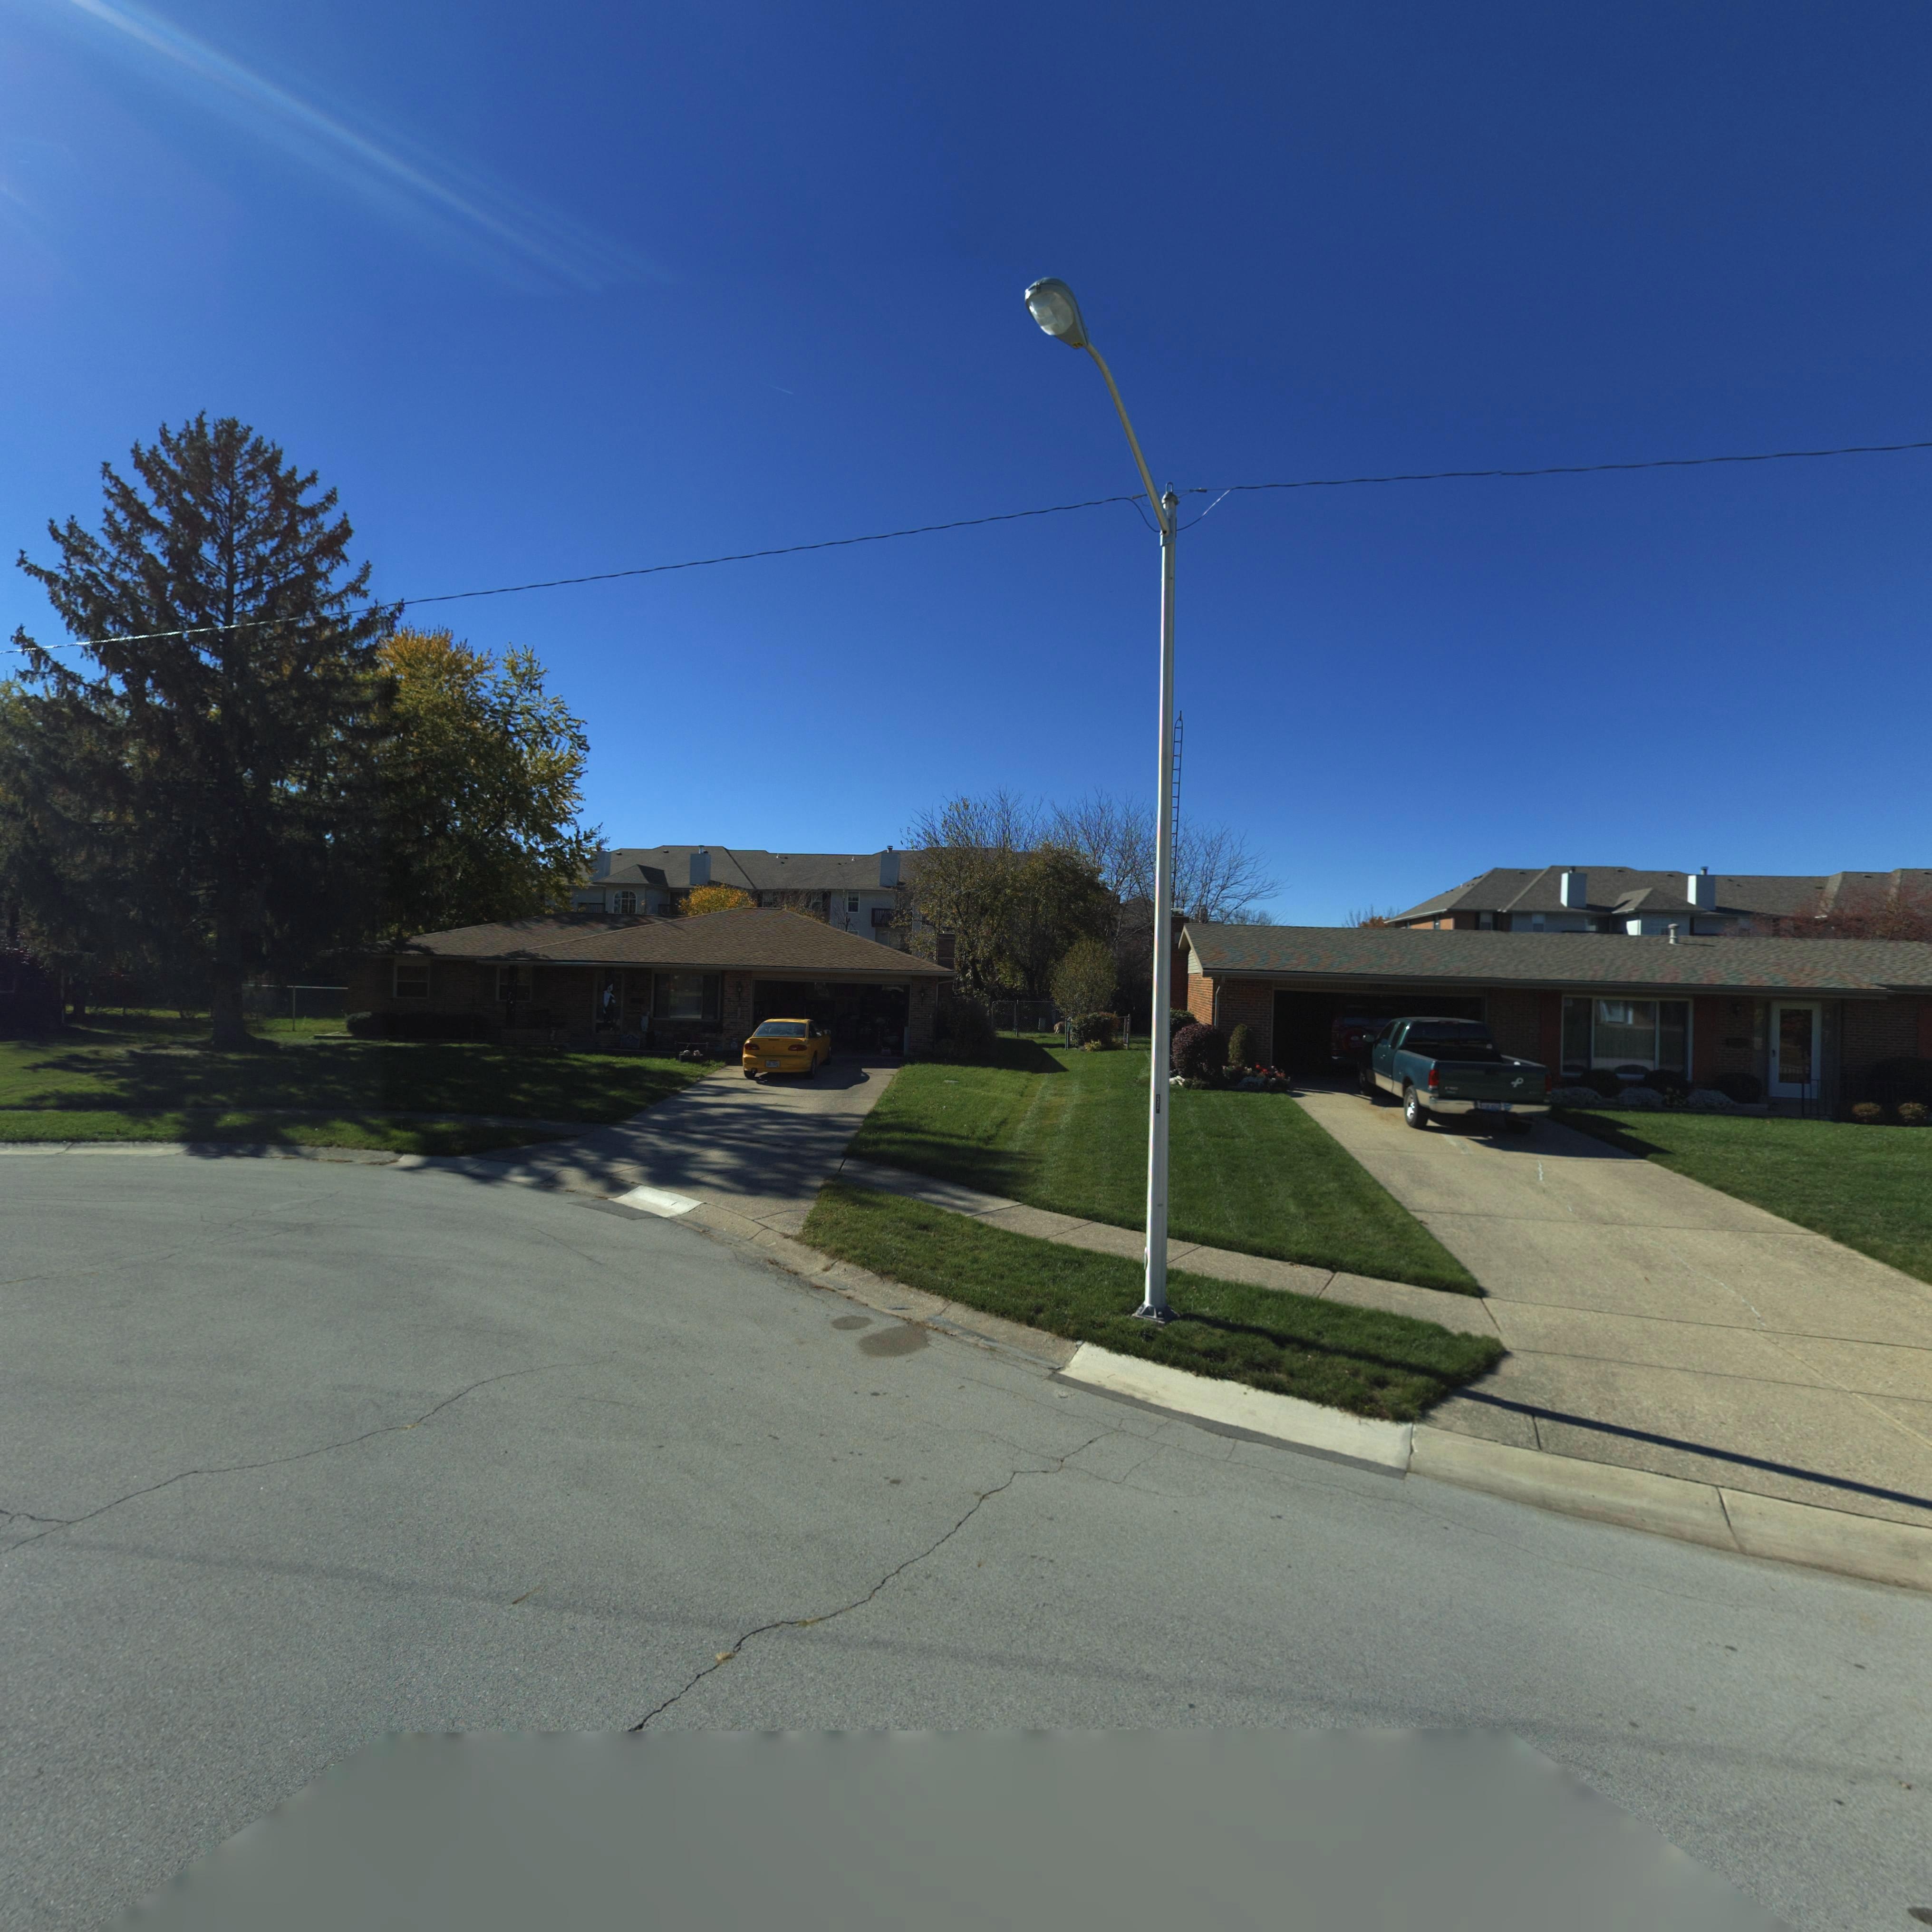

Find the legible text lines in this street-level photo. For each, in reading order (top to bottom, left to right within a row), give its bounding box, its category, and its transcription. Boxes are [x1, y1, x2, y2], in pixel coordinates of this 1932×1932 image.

[1368, 983, 1374, 990] StreetNumber: 7